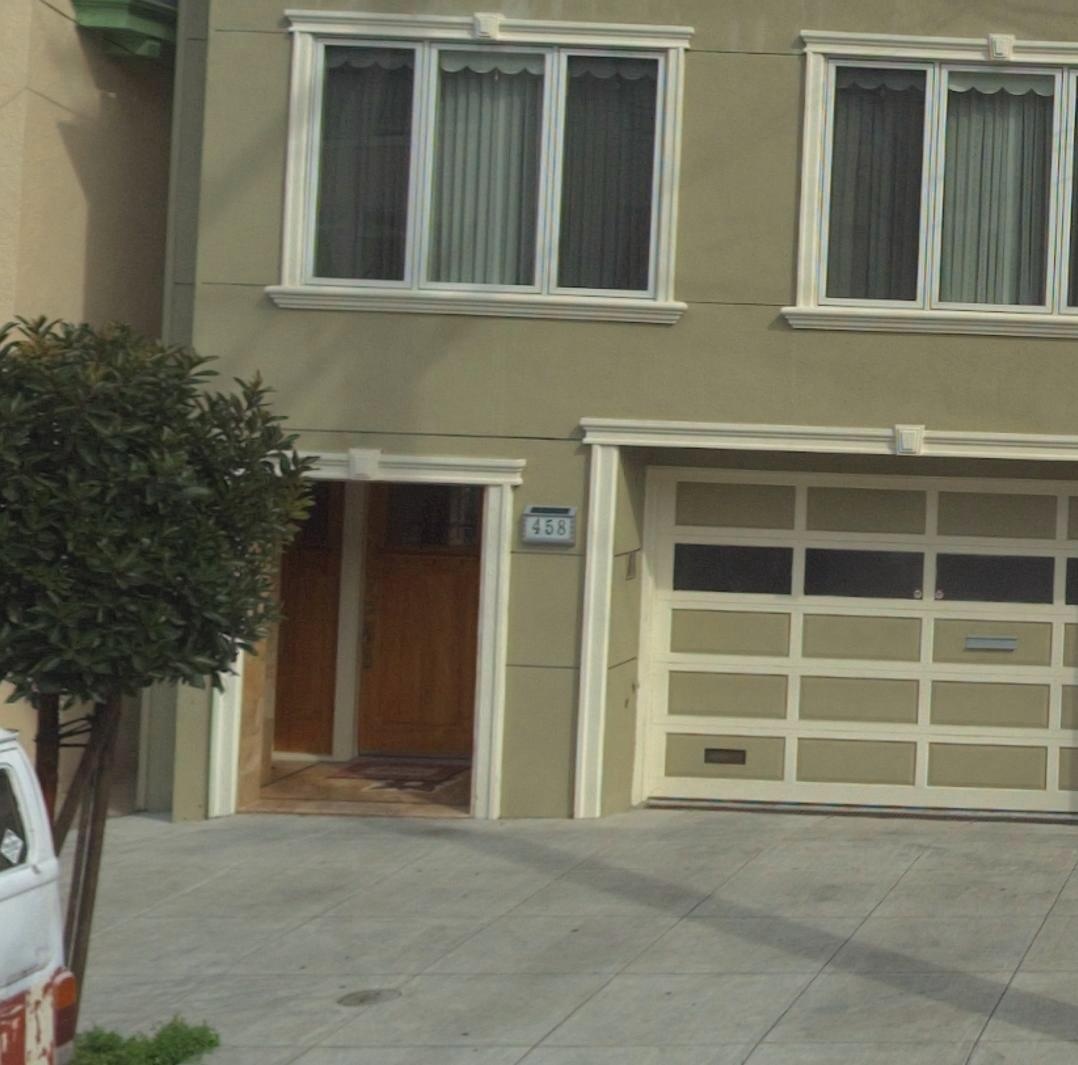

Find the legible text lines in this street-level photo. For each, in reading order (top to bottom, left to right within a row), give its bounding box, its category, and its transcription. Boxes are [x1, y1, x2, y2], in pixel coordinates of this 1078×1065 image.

[531, 516, 568, 537] StreetNumber: 458